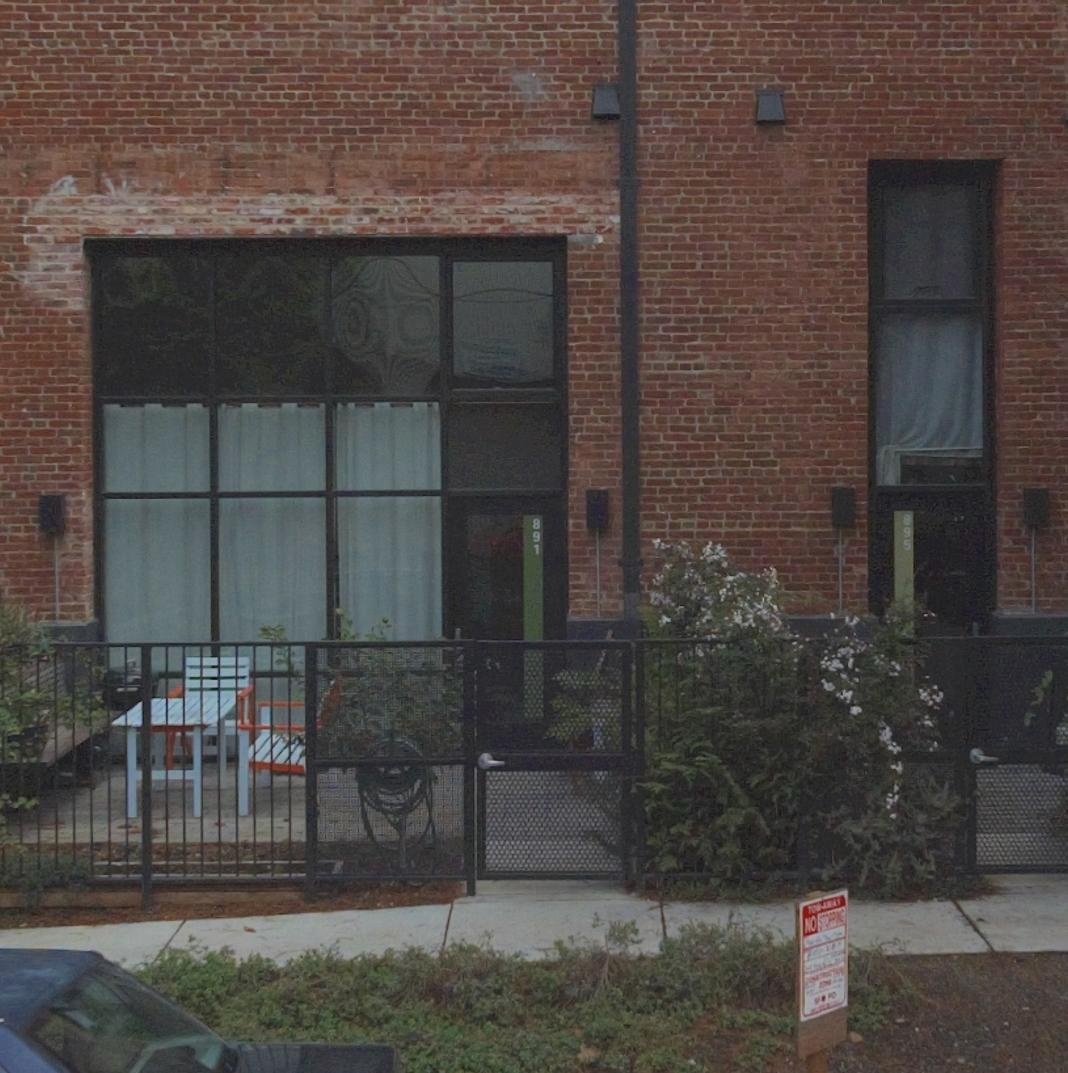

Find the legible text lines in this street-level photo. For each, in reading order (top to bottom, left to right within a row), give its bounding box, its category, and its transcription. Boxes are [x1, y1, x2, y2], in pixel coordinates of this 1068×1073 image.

[531, 517, 542, 555] StreetNumber: 891
[902, 514, 913, 552] StreetNumber: 895
[803, 907, 846, 936] None: NO STOPPING